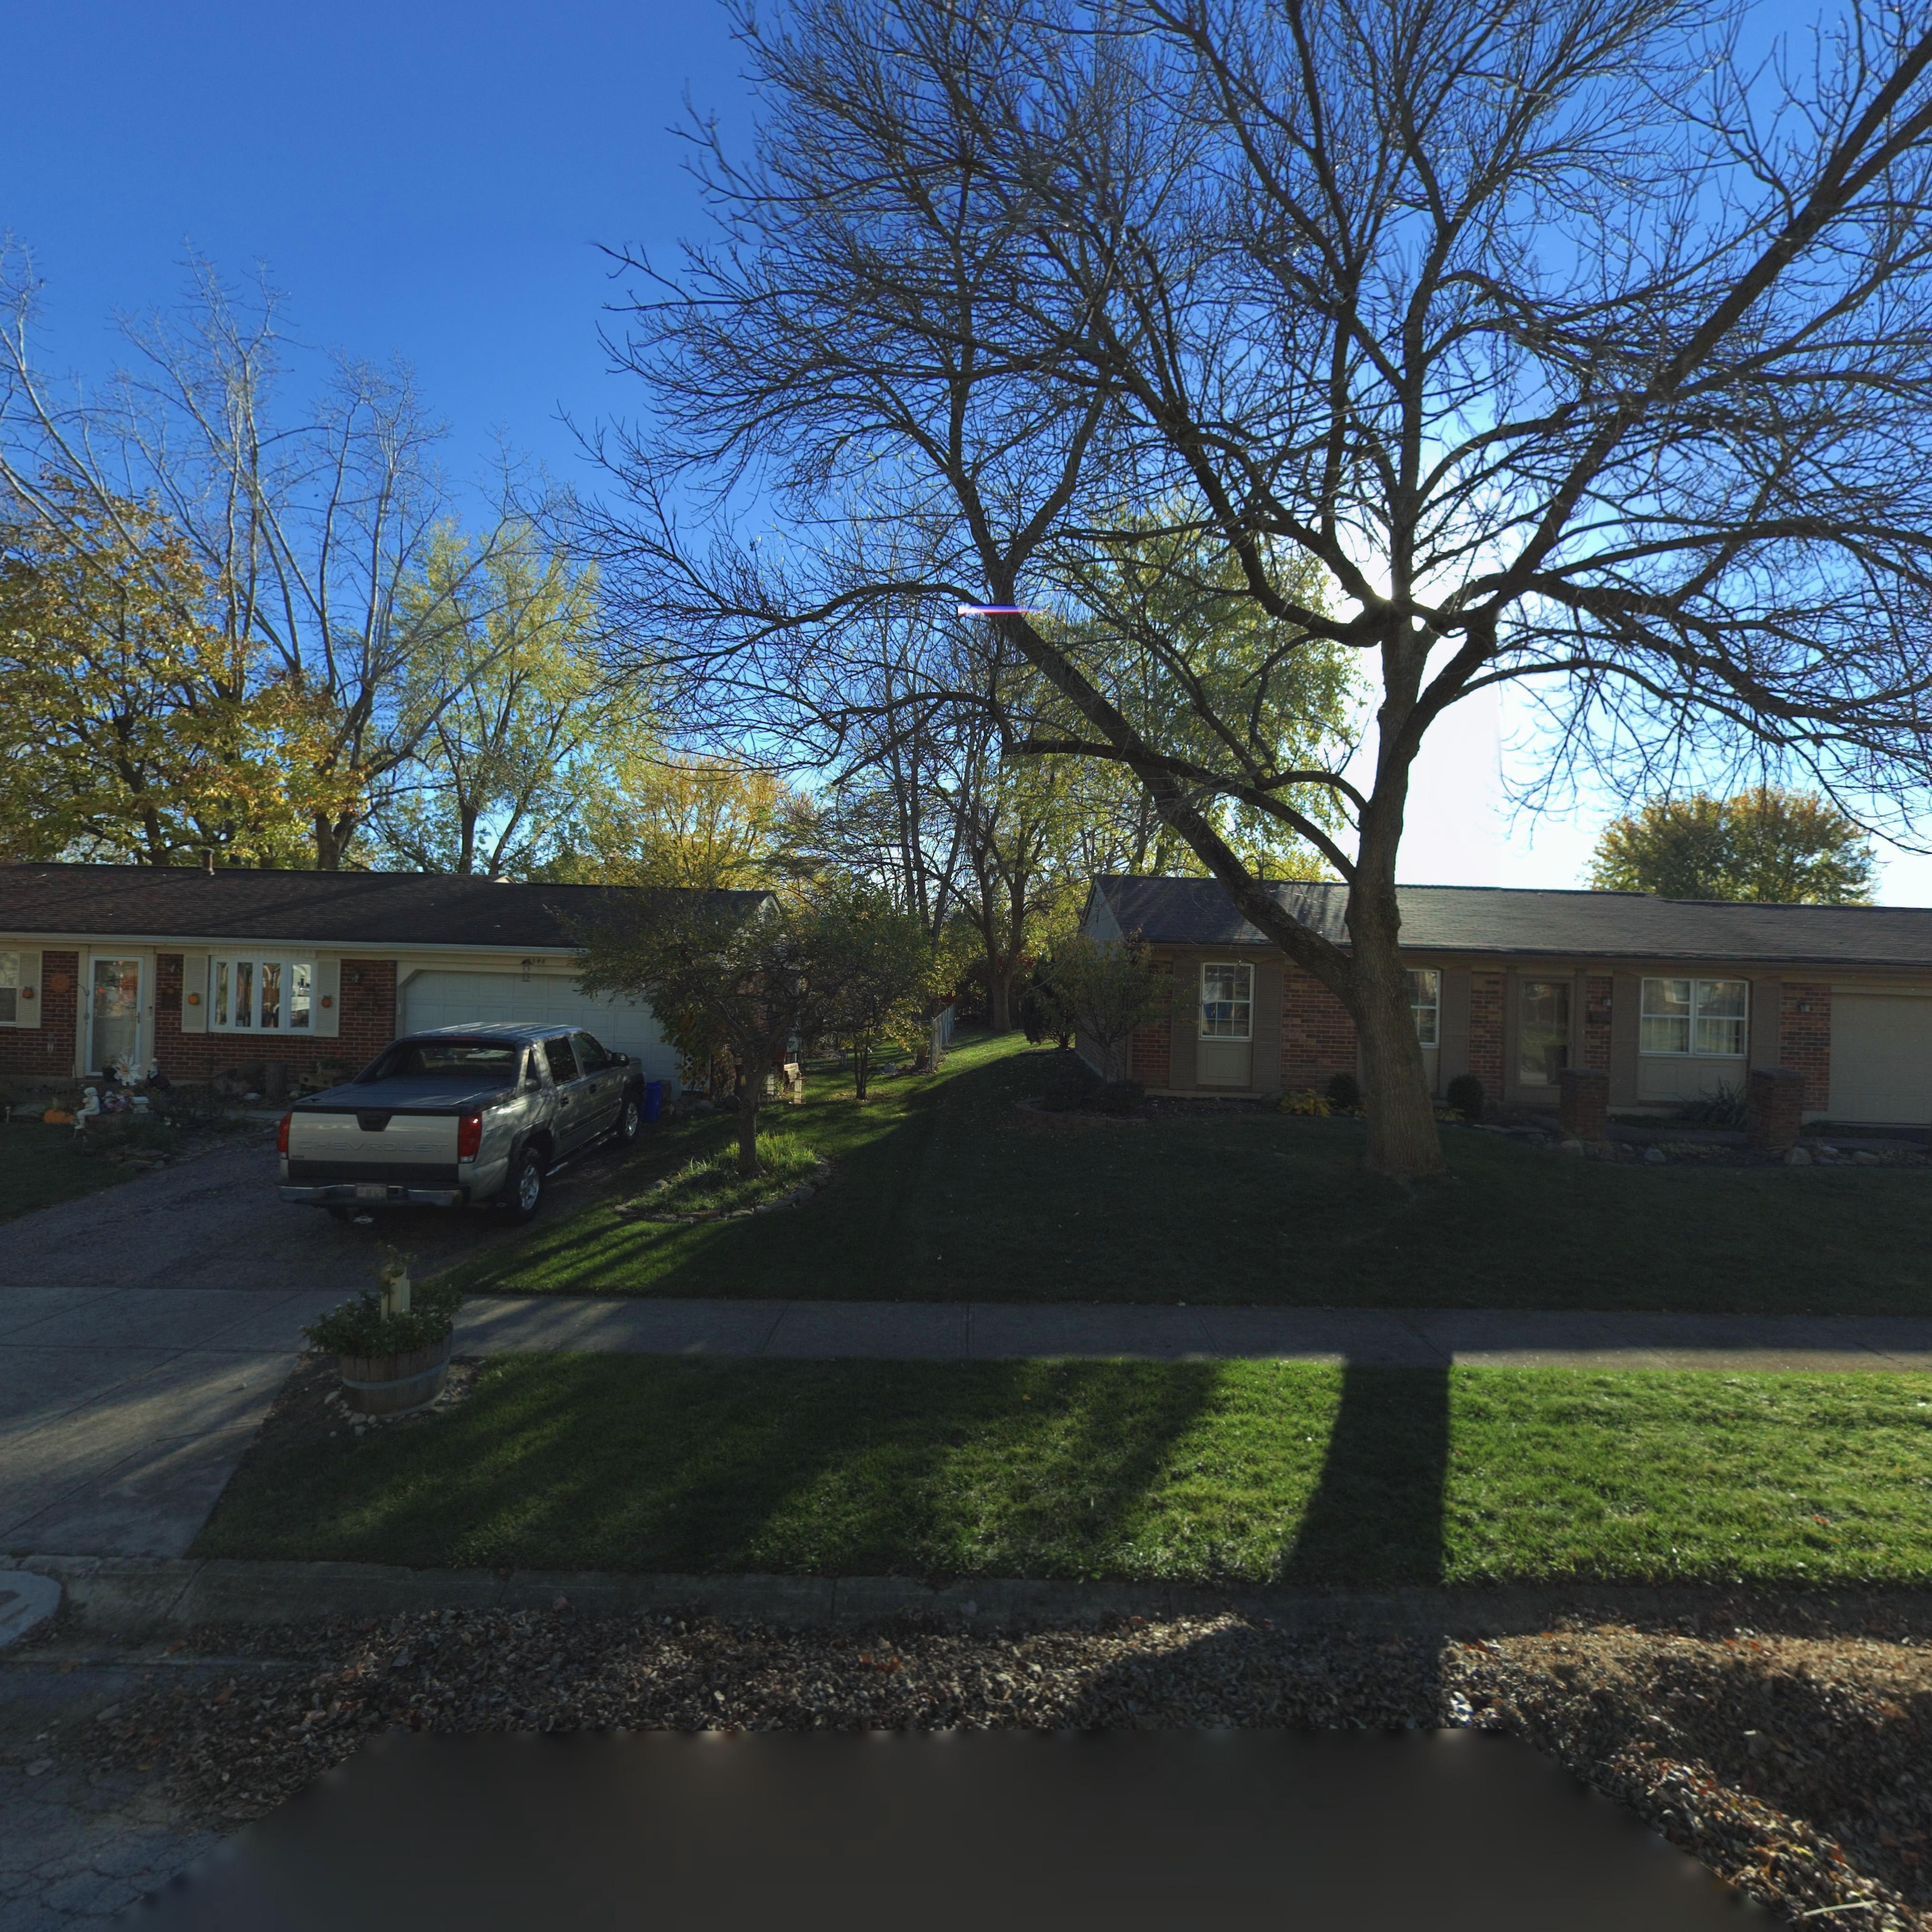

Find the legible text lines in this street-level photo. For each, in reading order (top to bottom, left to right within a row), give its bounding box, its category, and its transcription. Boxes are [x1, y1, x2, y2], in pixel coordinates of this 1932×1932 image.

[531, 957, 546, 964] StreetNumber: 548